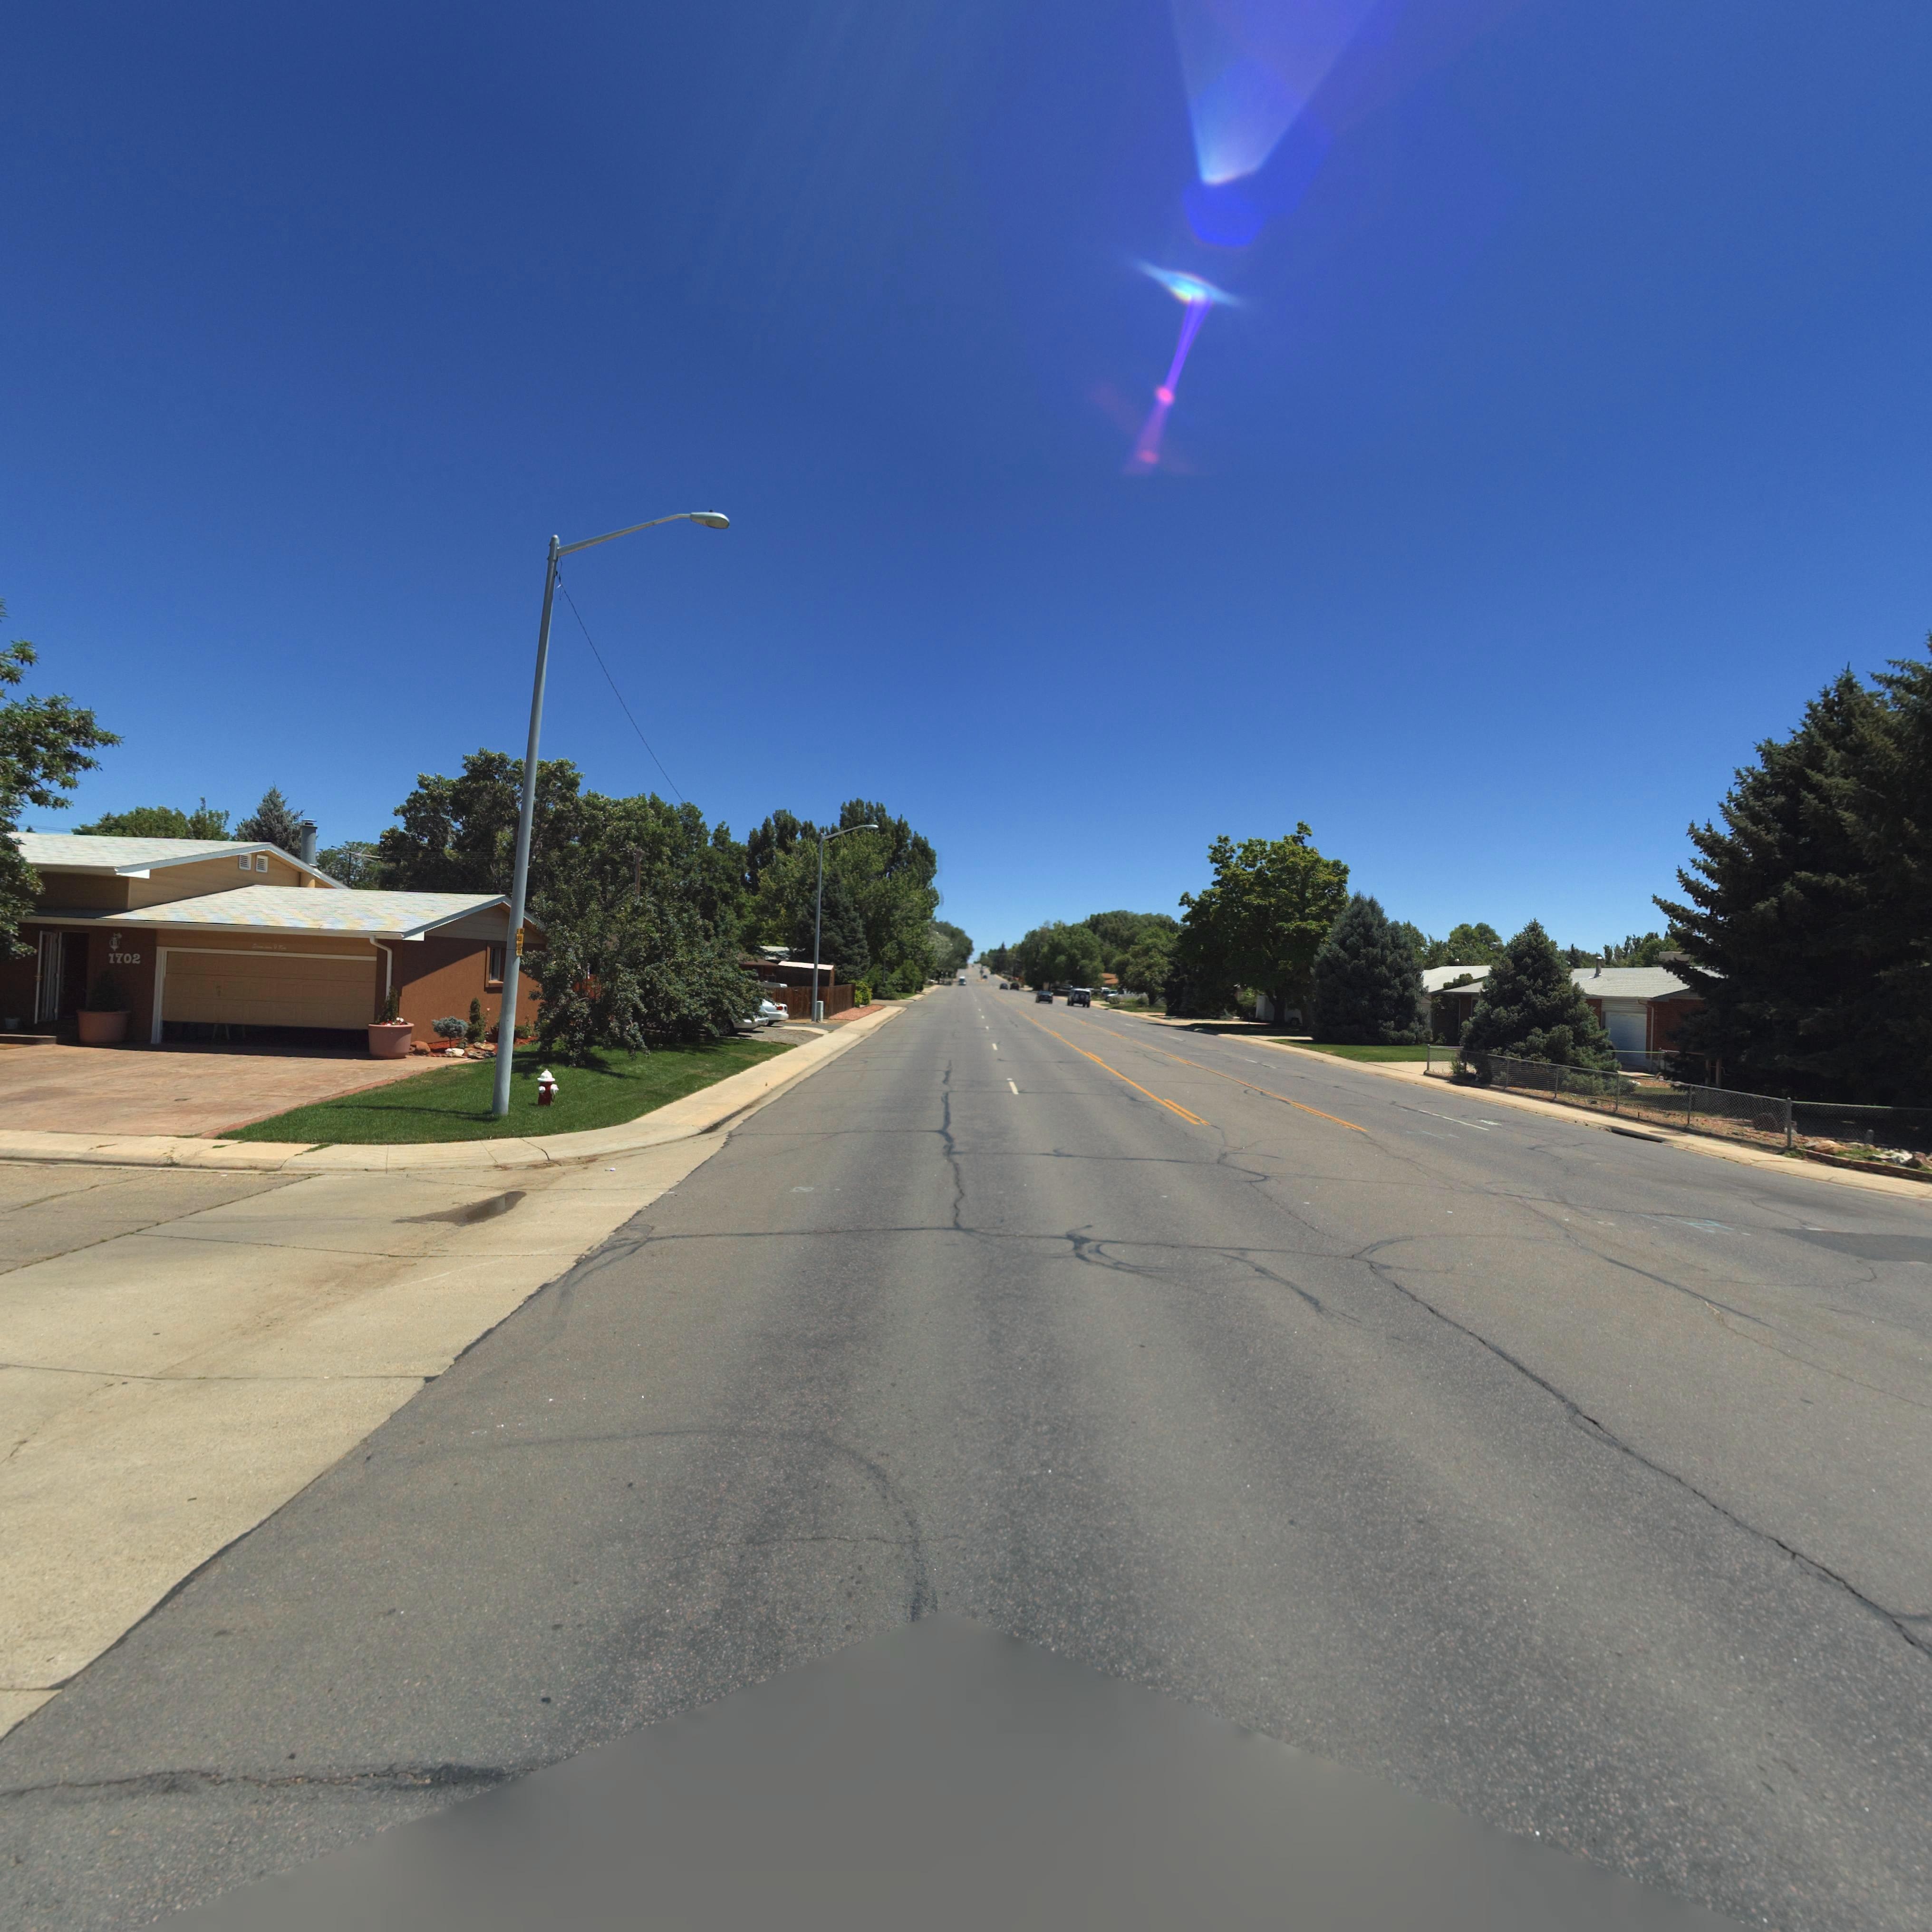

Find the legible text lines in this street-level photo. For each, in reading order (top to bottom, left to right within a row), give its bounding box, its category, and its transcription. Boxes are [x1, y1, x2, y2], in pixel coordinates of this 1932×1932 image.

[108, 953, 141, 964] StreetNumber: 1702